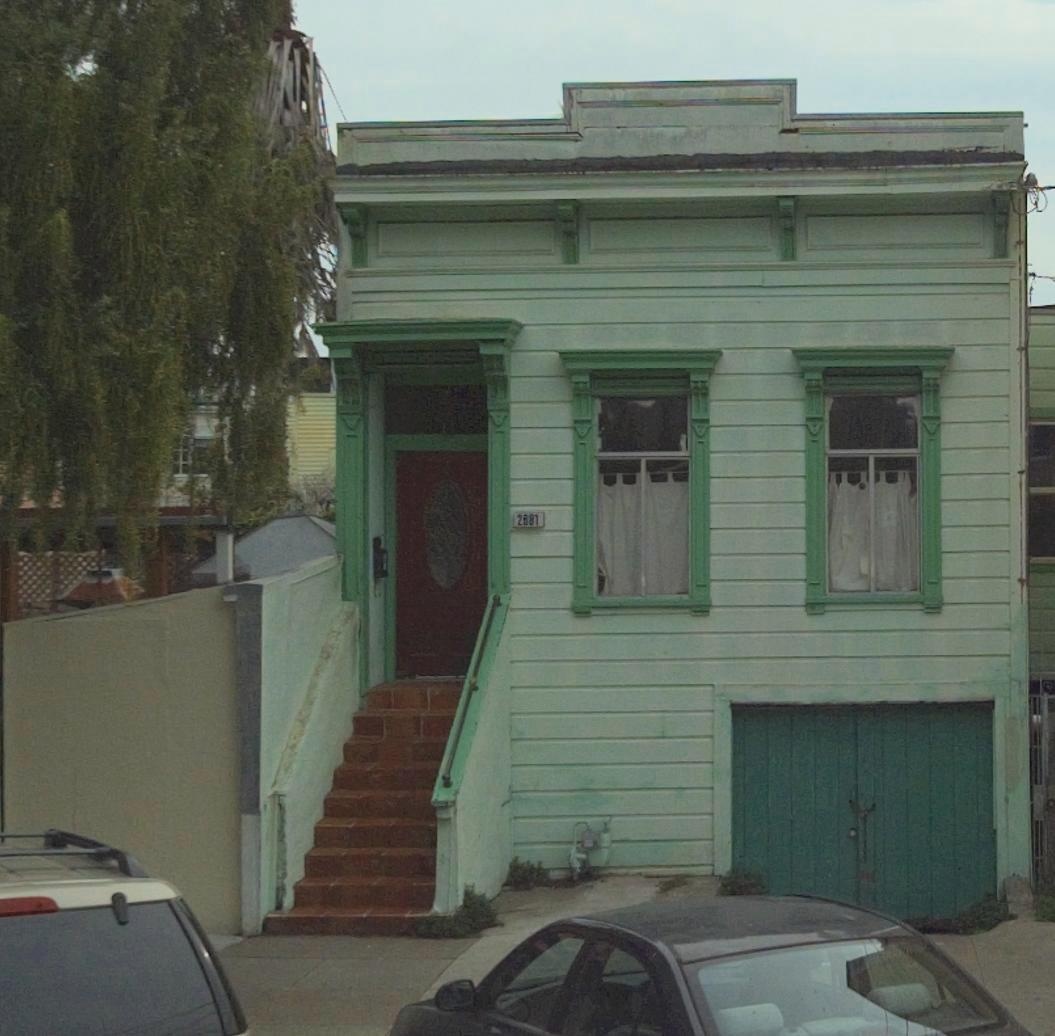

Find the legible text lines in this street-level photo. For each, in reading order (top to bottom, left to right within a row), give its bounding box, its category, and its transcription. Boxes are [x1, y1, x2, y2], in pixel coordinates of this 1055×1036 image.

[516, 512, 540, 527] StreetNumber: 2681